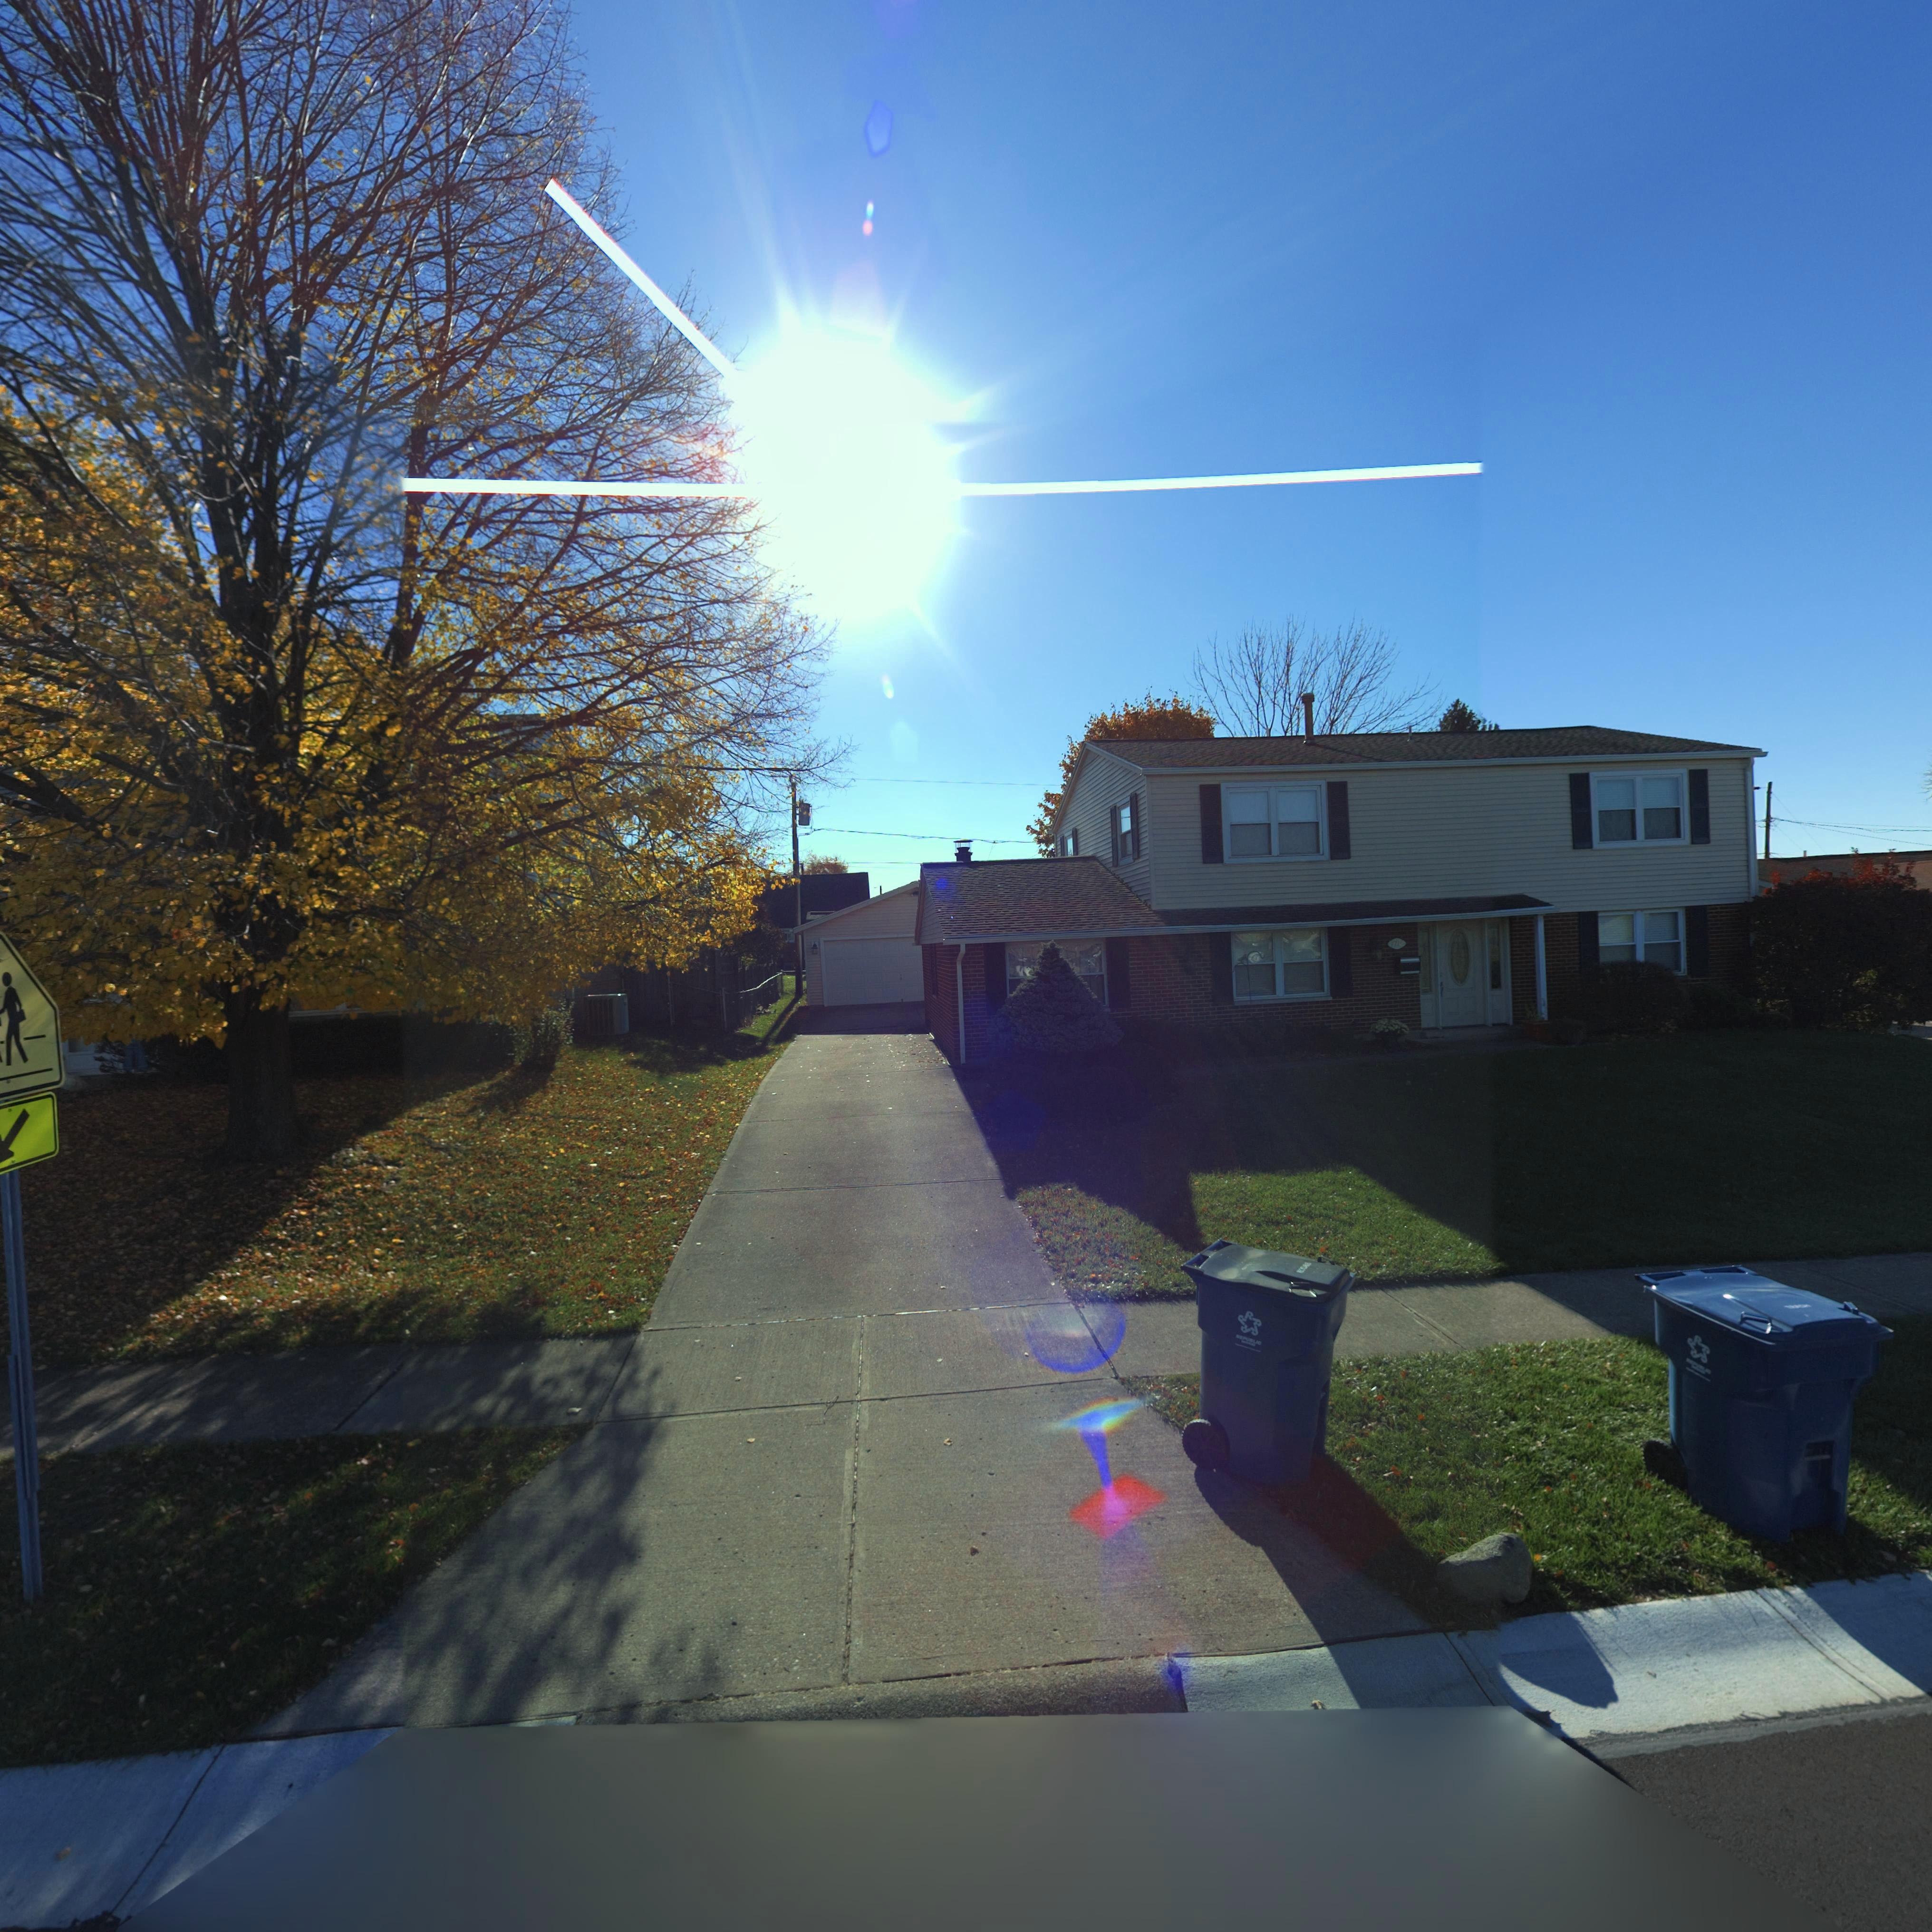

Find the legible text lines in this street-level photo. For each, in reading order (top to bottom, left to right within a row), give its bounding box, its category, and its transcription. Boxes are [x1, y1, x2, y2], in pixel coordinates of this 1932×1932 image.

[1389, 939, 1405, 949] StreetNumber: 77**